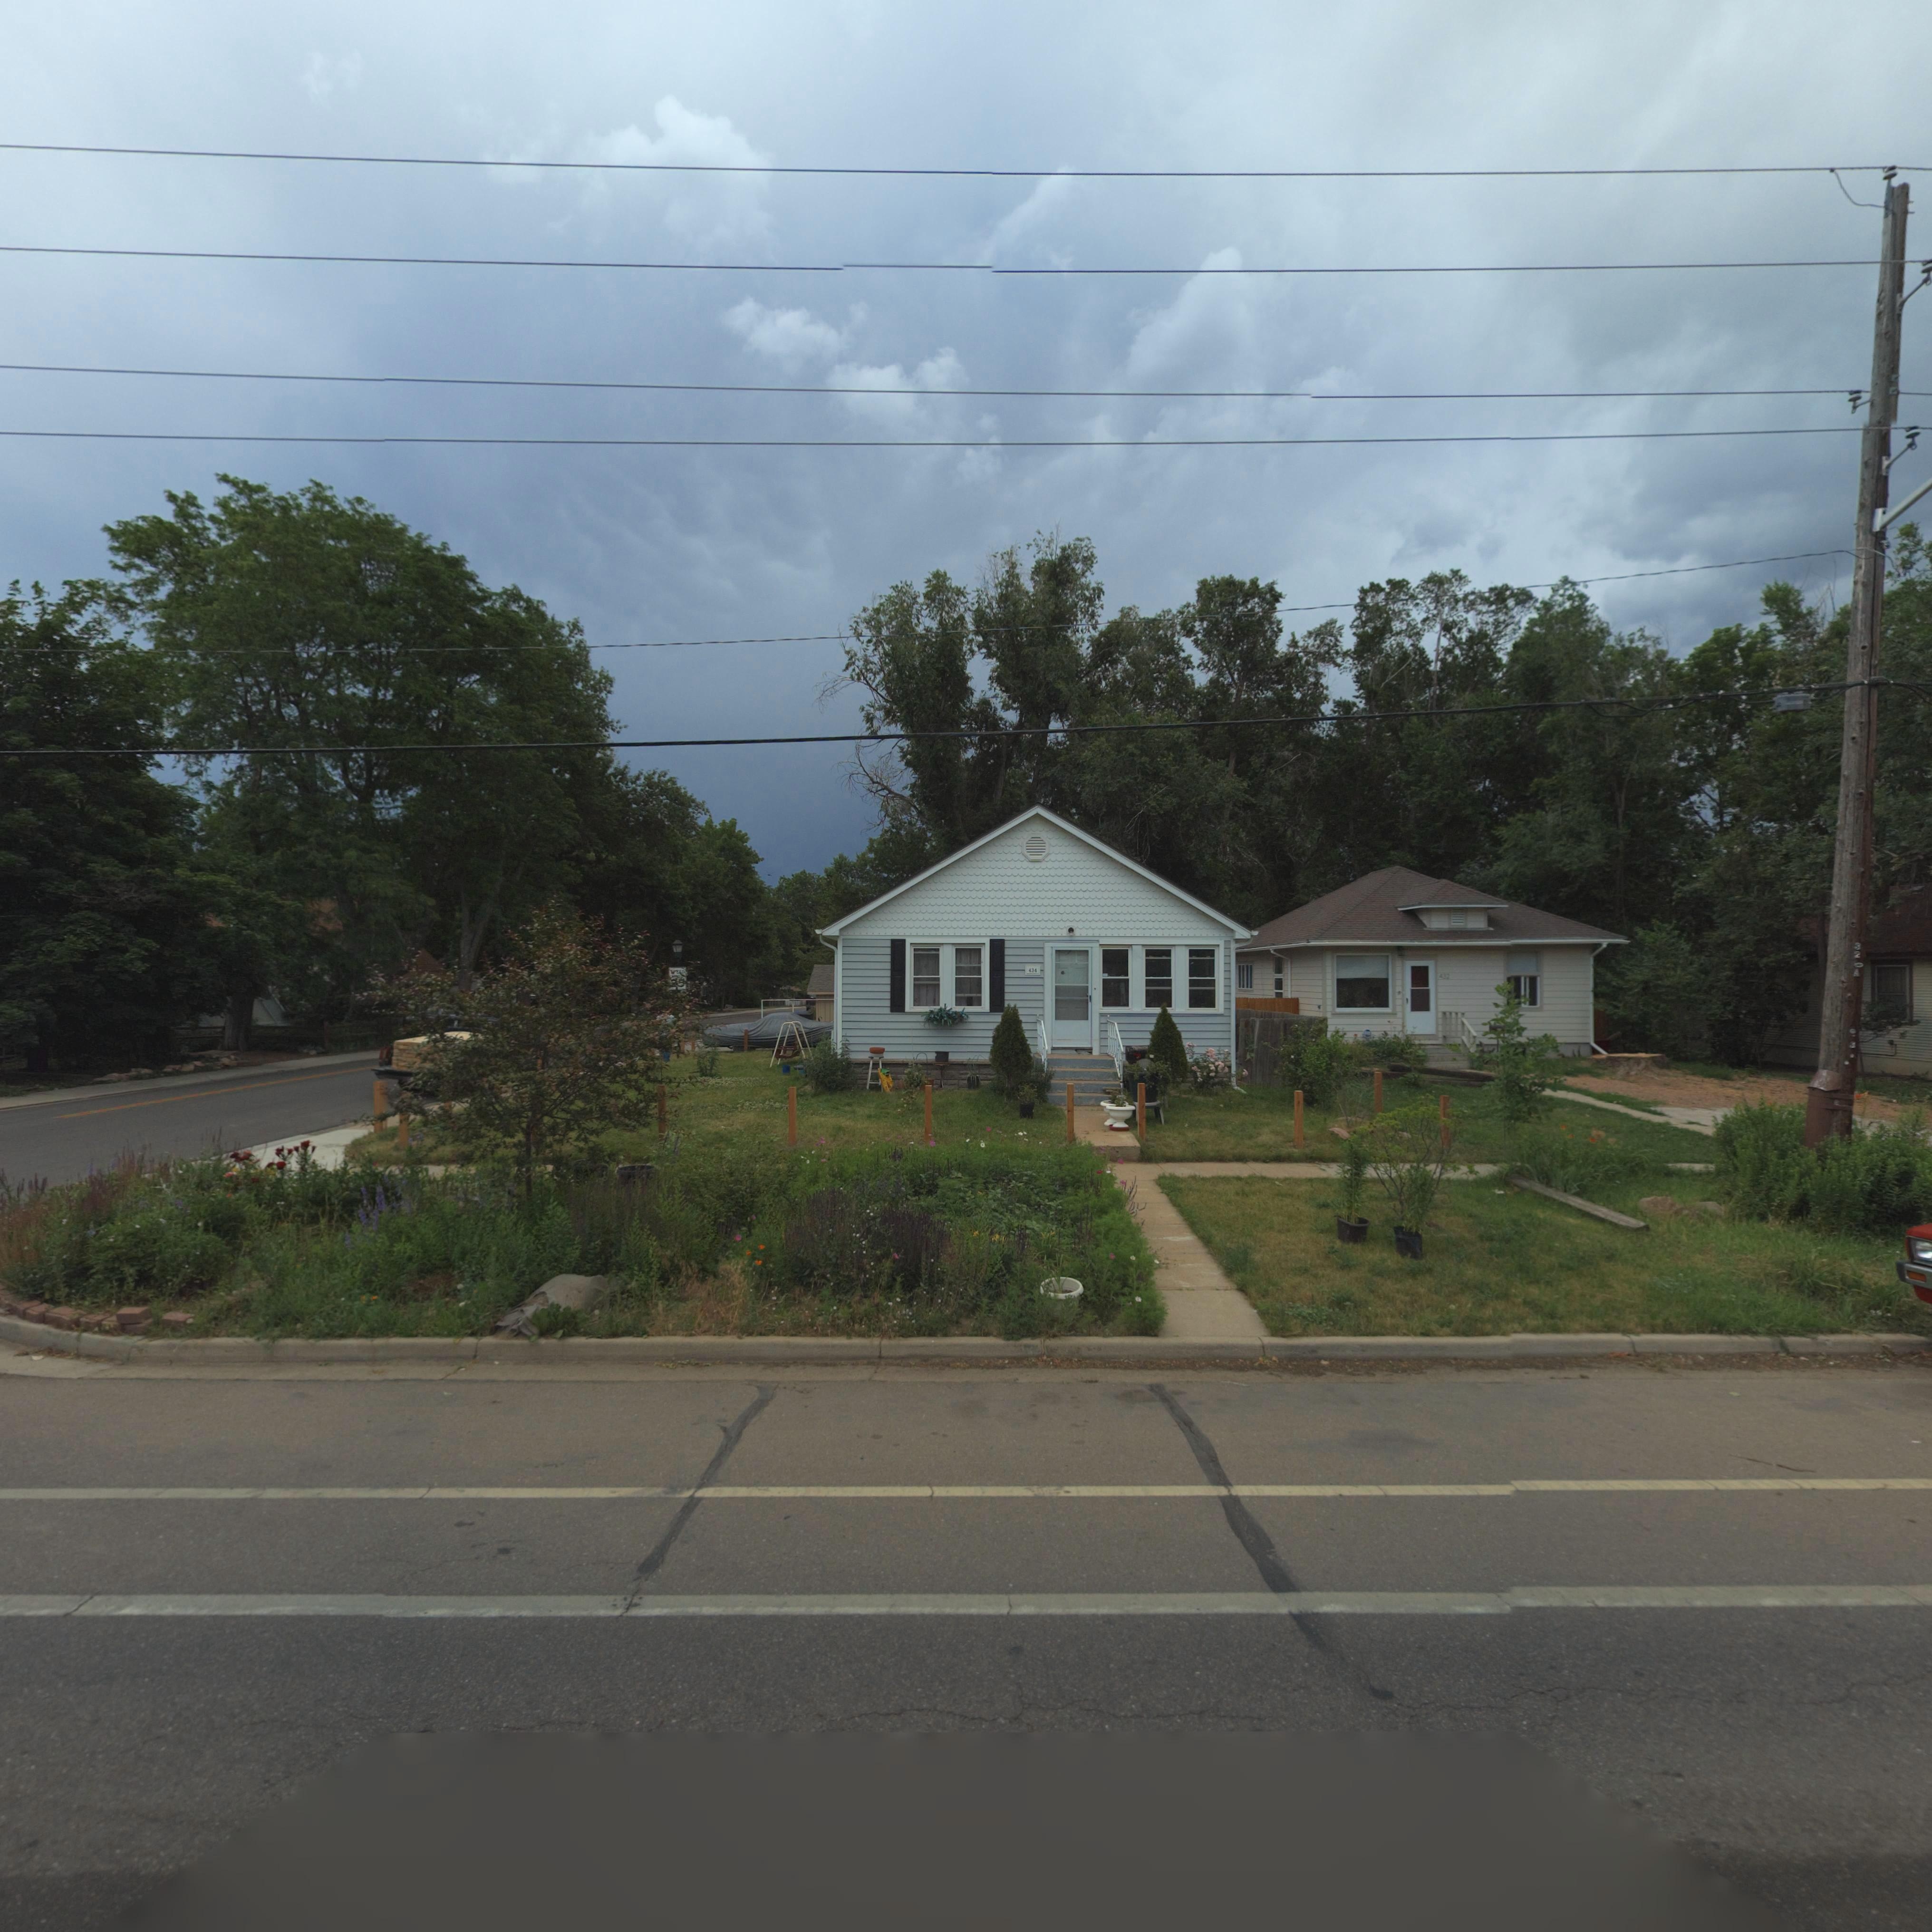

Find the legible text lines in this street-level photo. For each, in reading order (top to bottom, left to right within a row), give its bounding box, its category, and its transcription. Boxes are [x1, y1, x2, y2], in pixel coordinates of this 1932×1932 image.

[1028, 968, 1036, 972] StreetNumber: 434
[1438, 973, 1450, 979] StreetNumber: 432